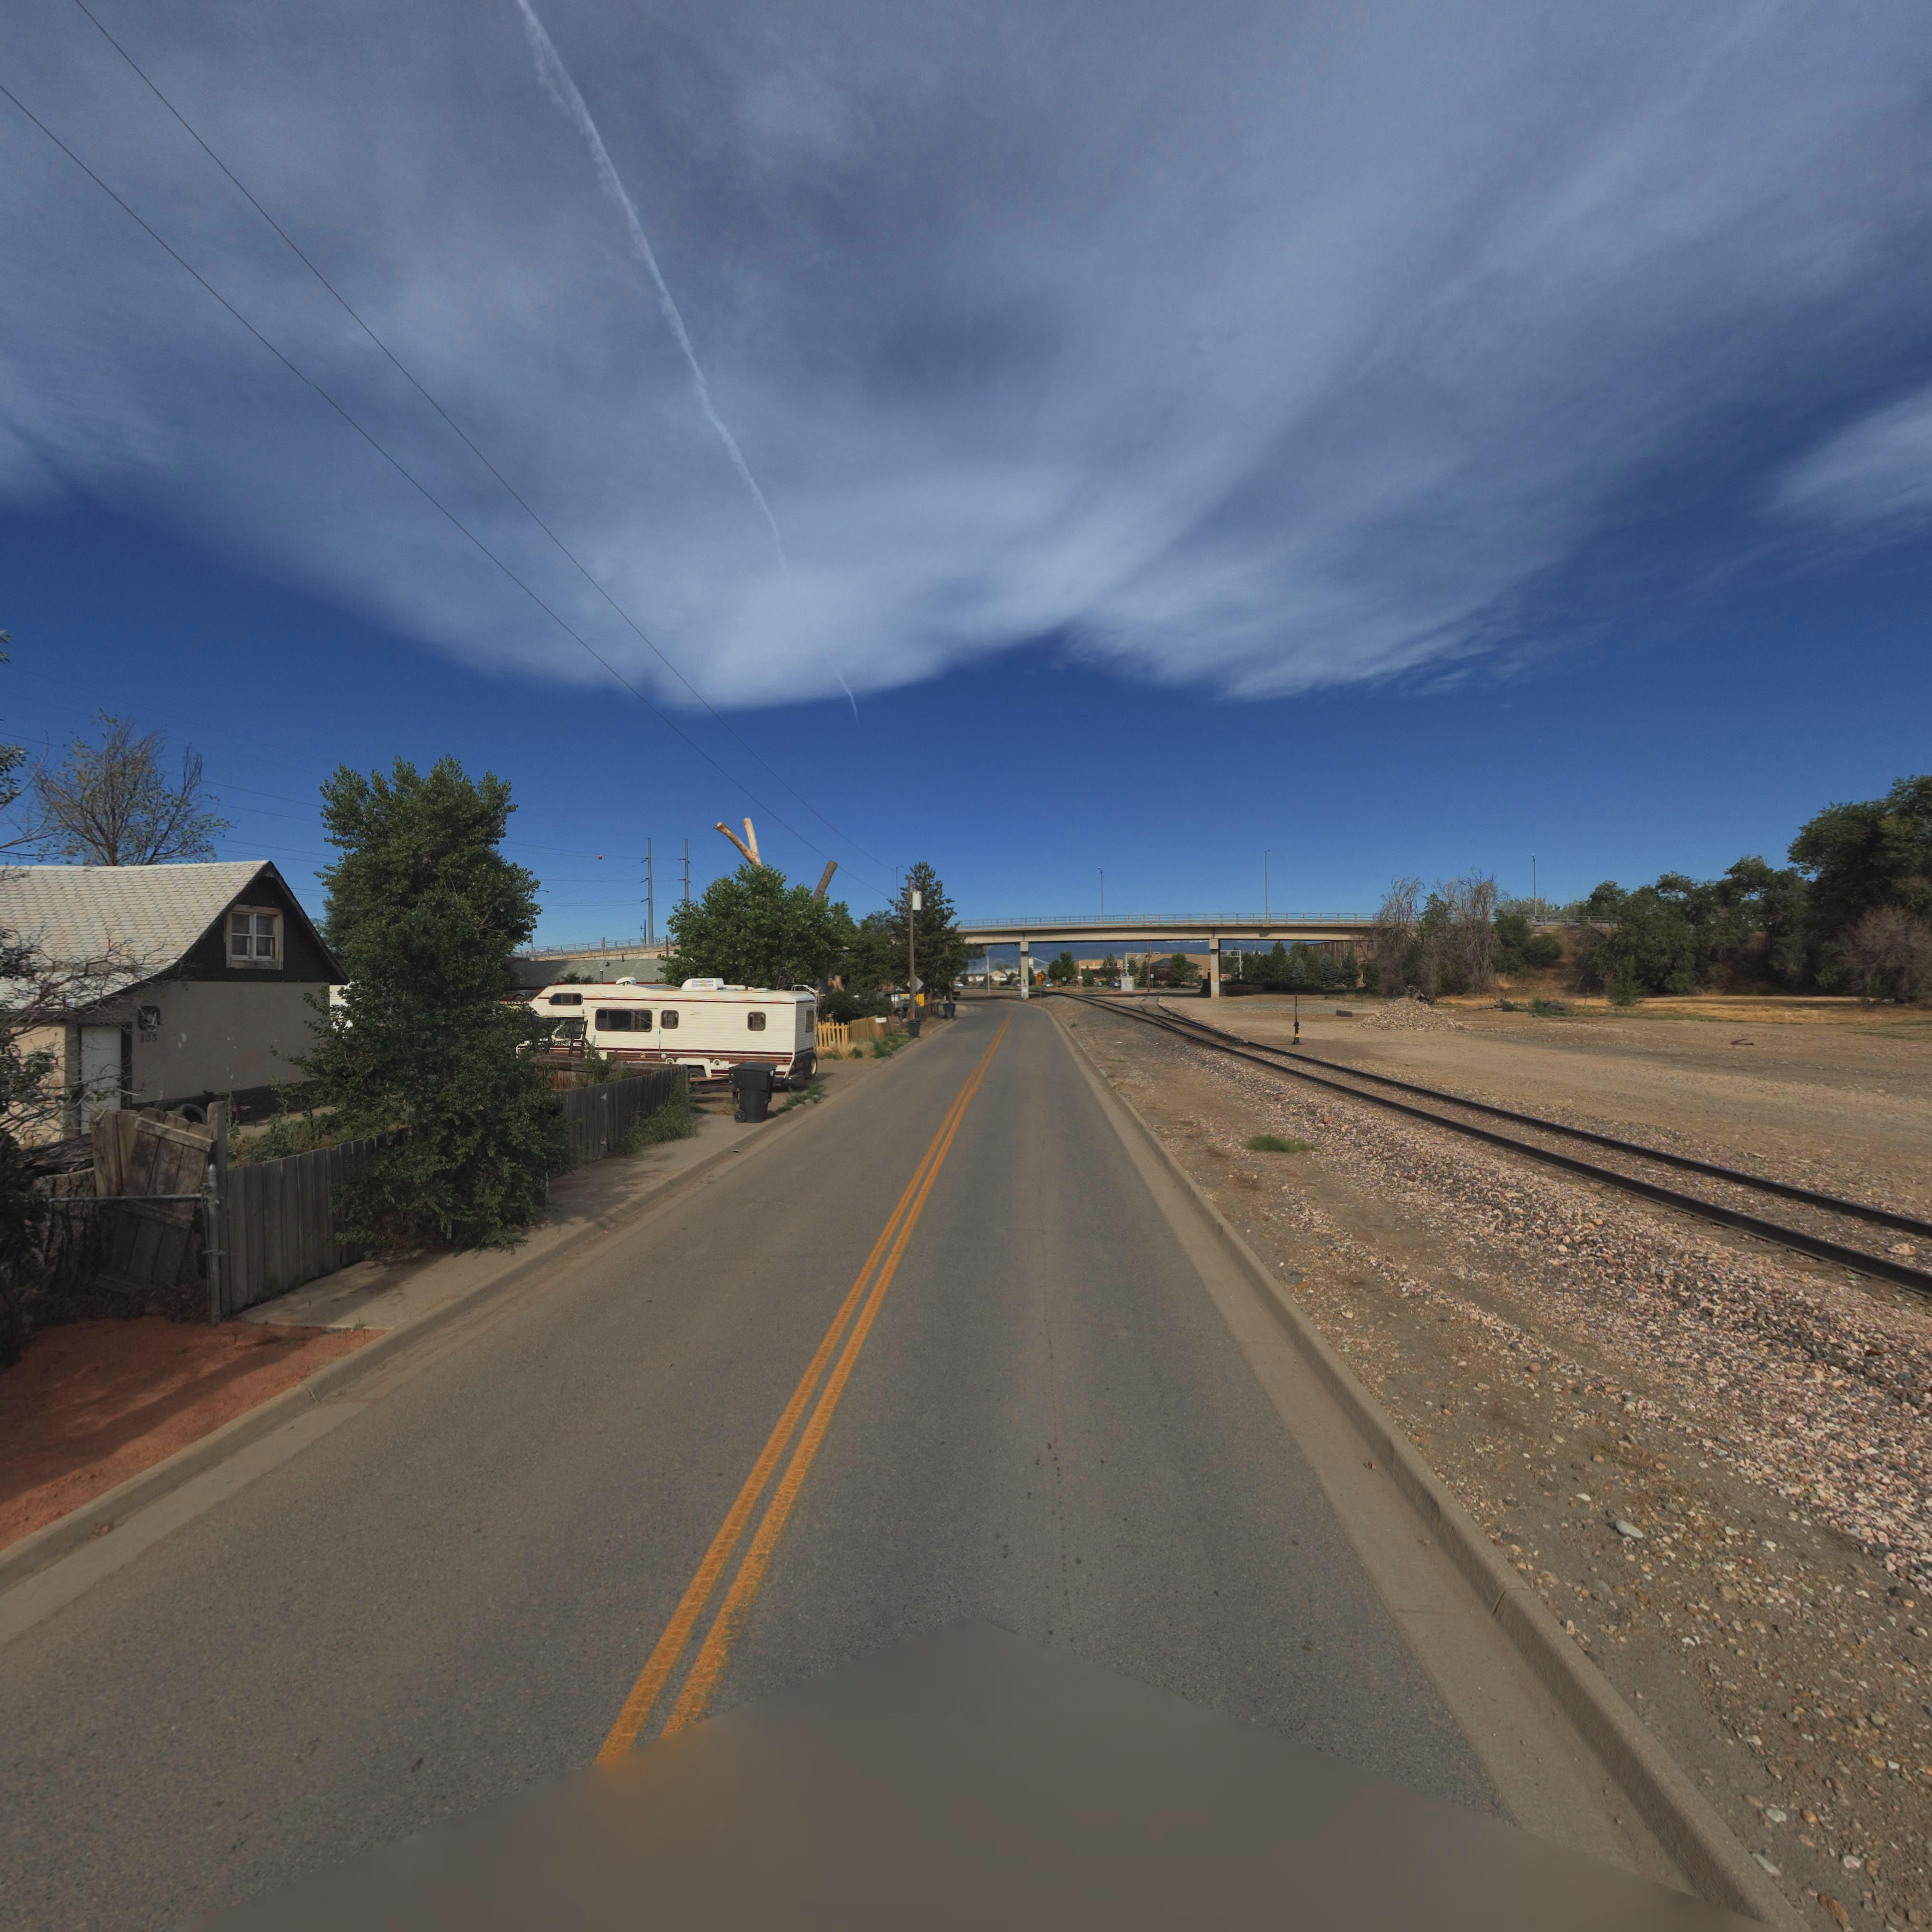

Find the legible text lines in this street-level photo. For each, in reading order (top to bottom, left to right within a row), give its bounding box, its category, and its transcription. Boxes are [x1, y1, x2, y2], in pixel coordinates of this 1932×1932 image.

[139, 1034, 158, 1043] StreetNumber: 803